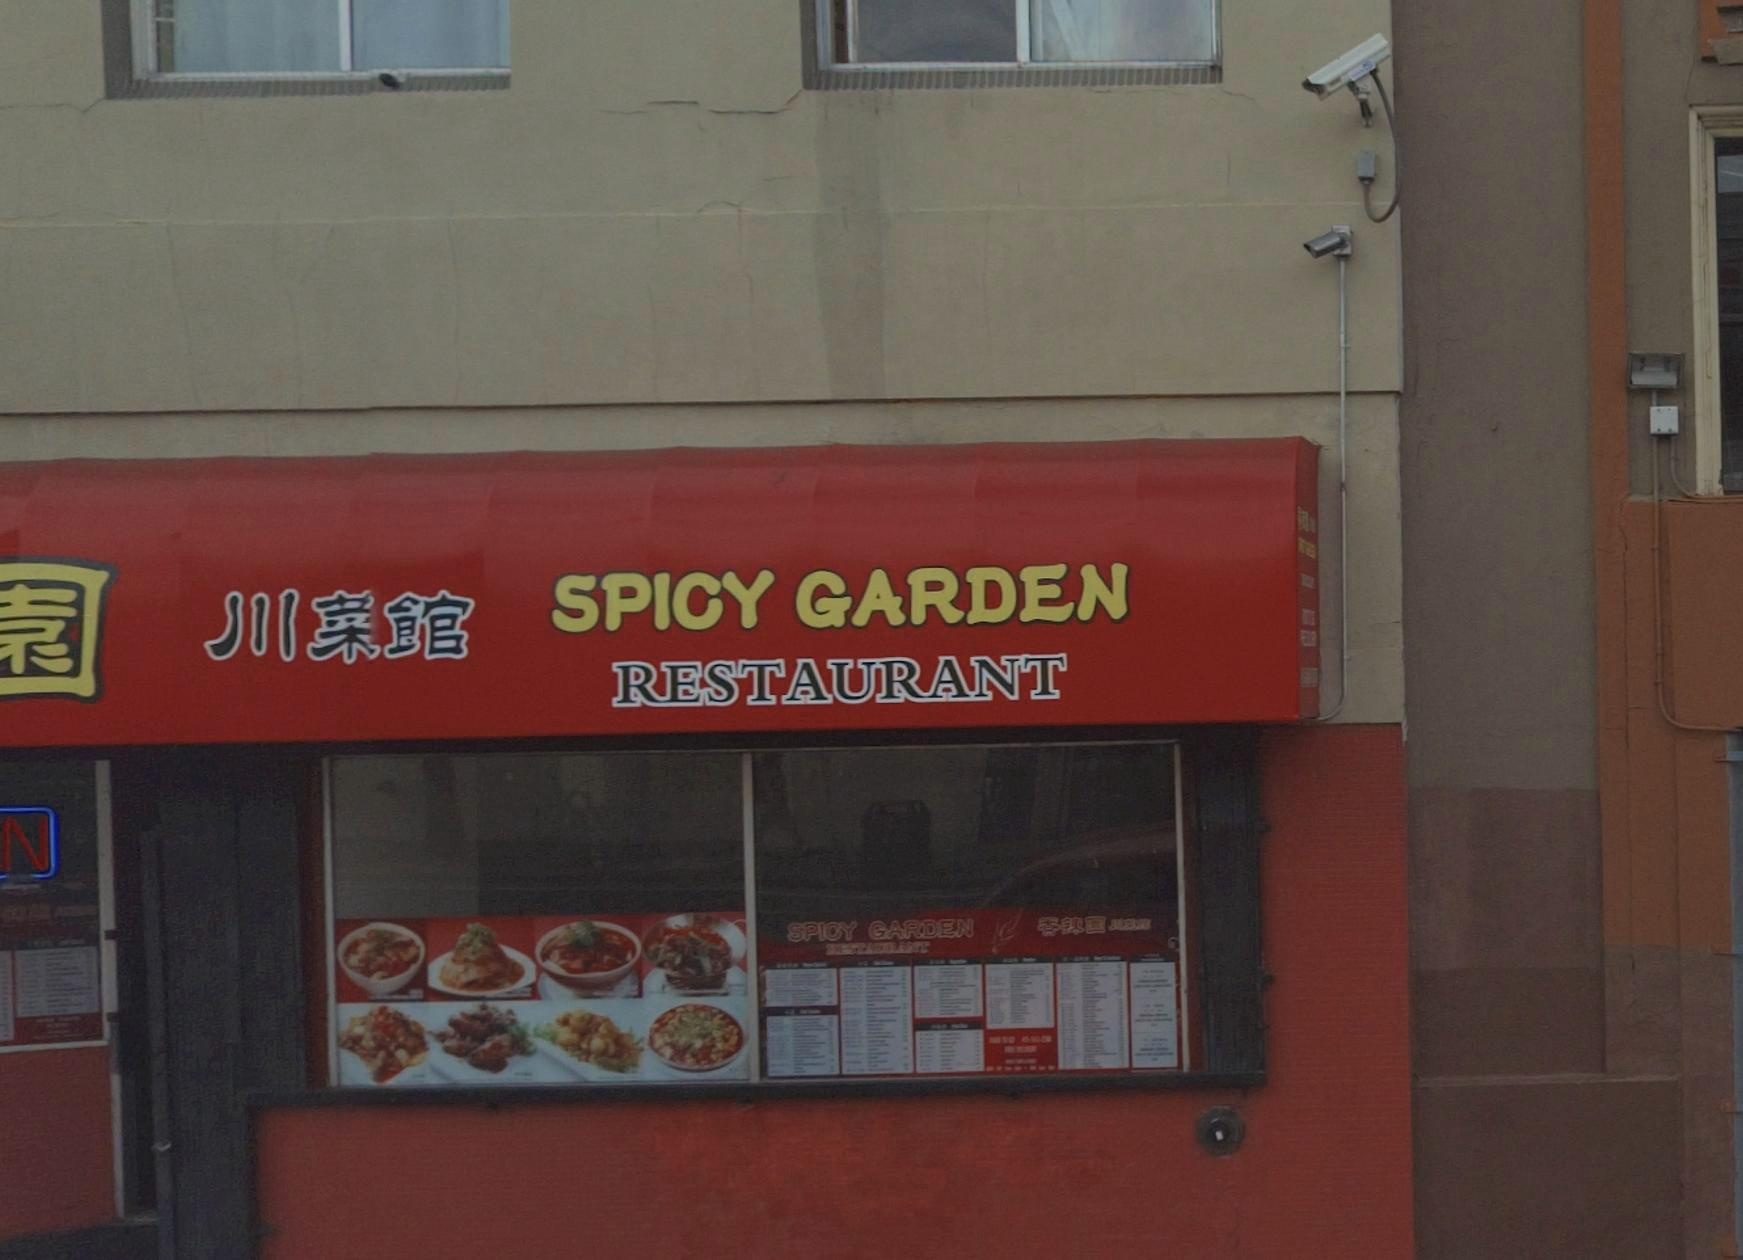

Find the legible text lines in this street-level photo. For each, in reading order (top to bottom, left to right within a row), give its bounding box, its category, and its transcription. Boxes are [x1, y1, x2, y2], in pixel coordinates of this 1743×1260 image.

[548, 559, 1134, 636] BusinessName: SPICY GARDEN
[612, 653, 1067, 710] BusinessName: RESTAURANT
[0, 812, 51, 875] None: N
[784, 915, 978, 946] BusinessName: SPICY GARDEN